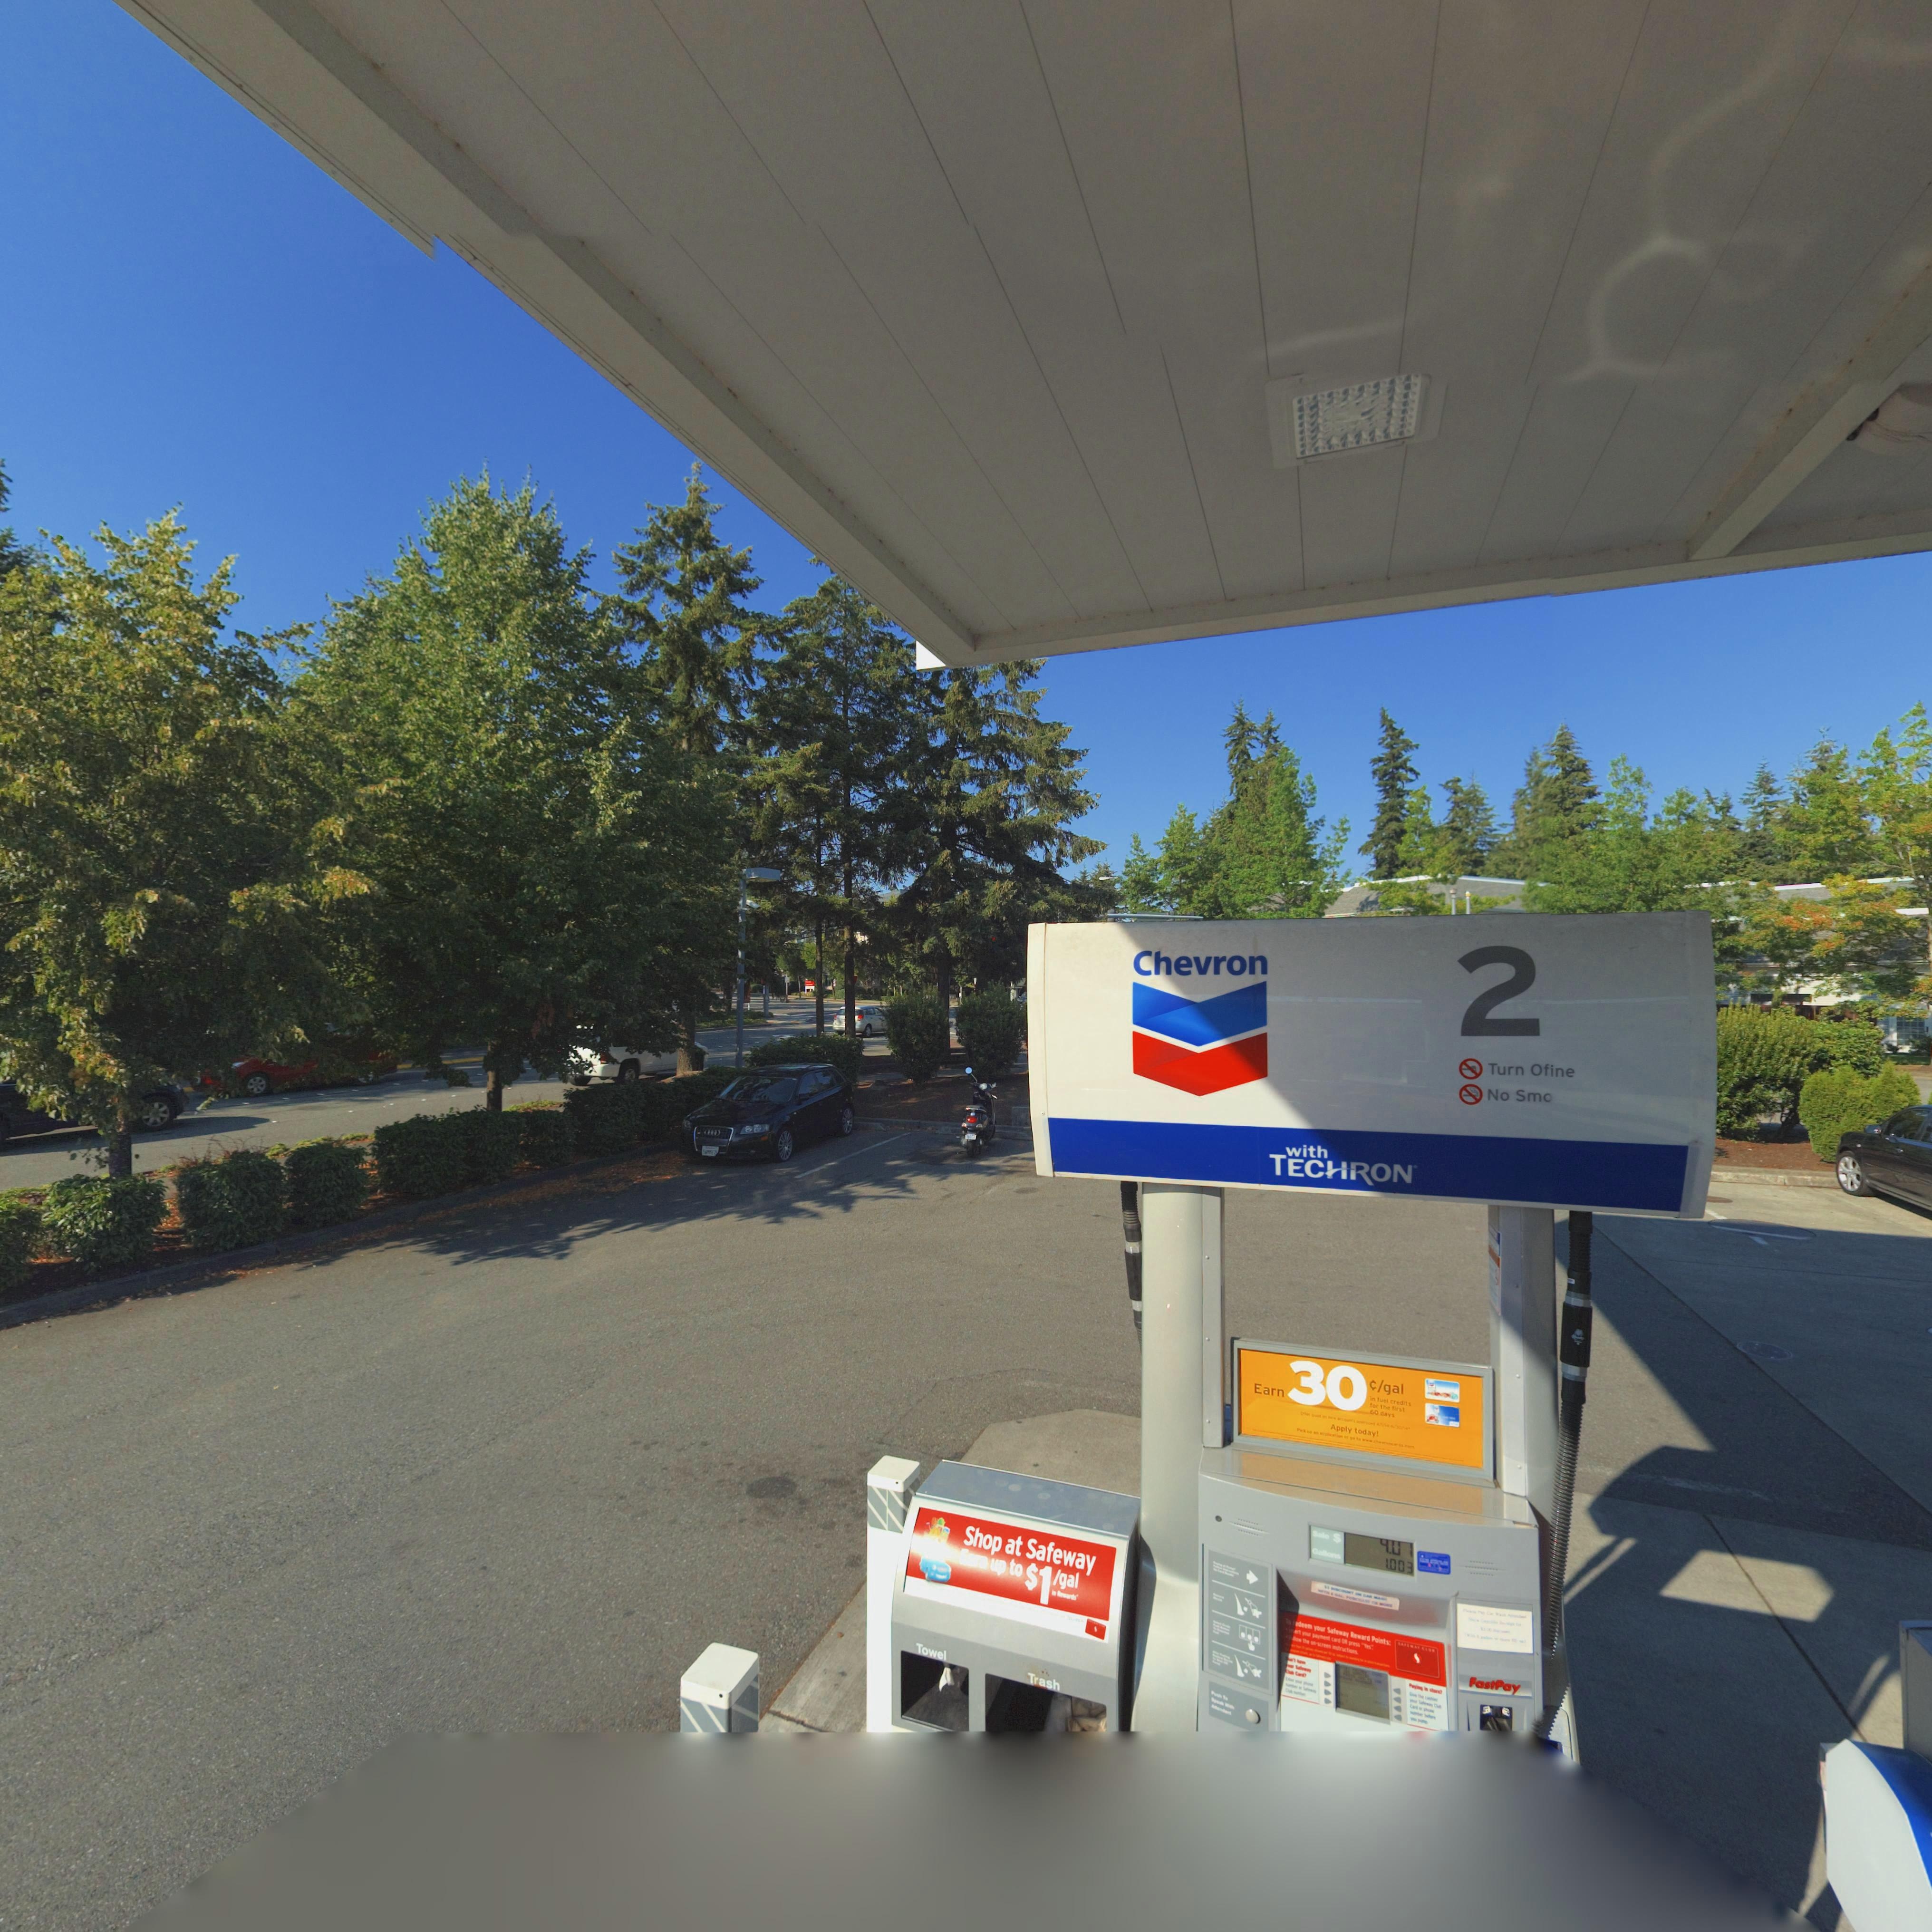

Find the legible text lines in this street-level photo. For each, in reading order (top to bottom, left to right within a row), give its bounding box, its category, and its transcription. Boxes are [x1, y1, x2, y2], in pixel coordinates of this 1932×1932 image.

[1134, 950, 1266, 975] BusinessName: Chevron